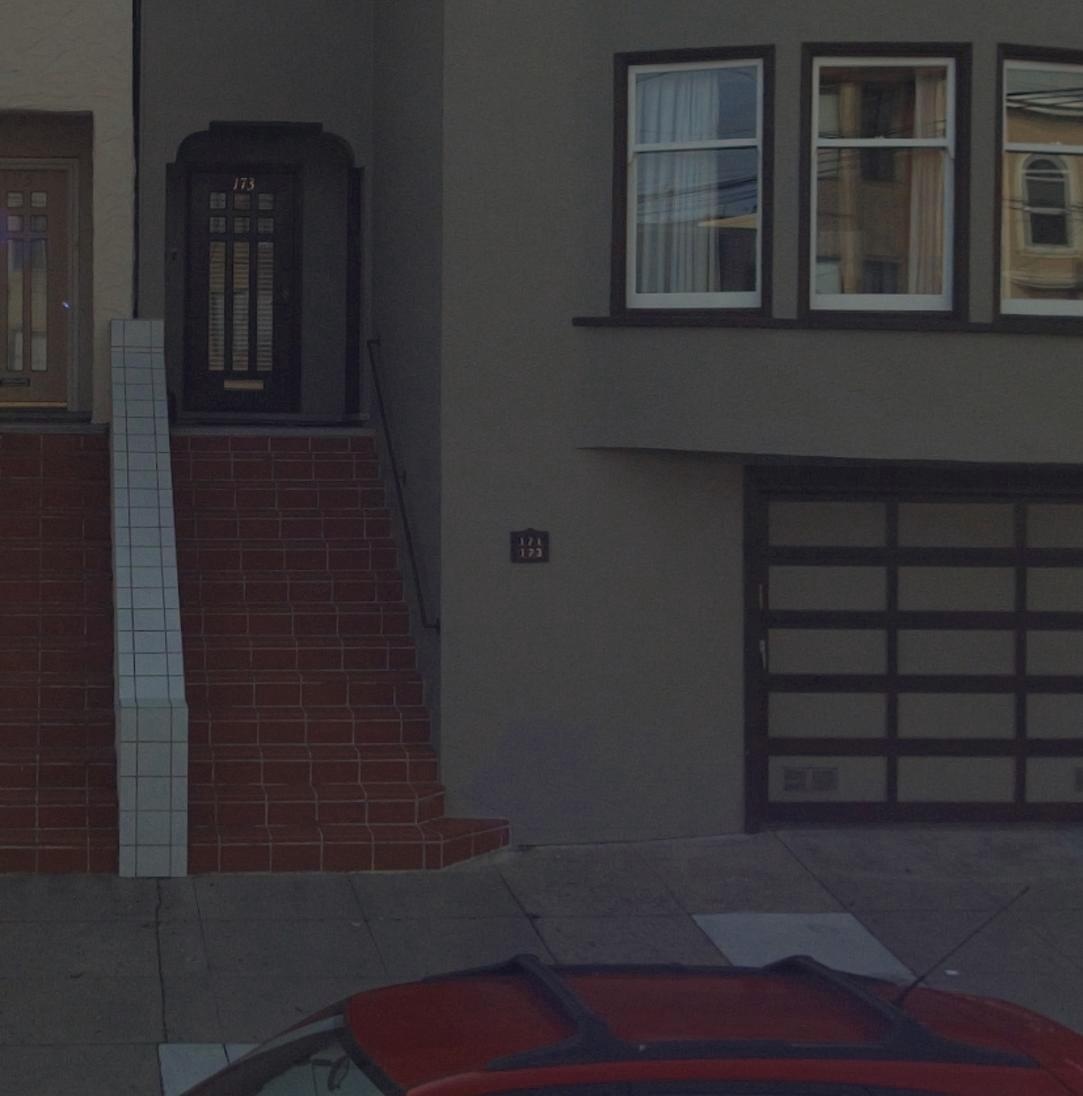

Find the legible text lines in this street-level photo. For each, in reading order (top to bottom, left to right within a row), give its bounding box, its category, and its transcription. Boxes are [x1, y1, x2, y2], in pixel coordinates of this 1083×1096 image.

[231, 176, 257, 192] StreetNumber: 173
[518, 535, 542, 547] StreetNumber: 171
[518, 547, 543, 558] StreetNumber: 173